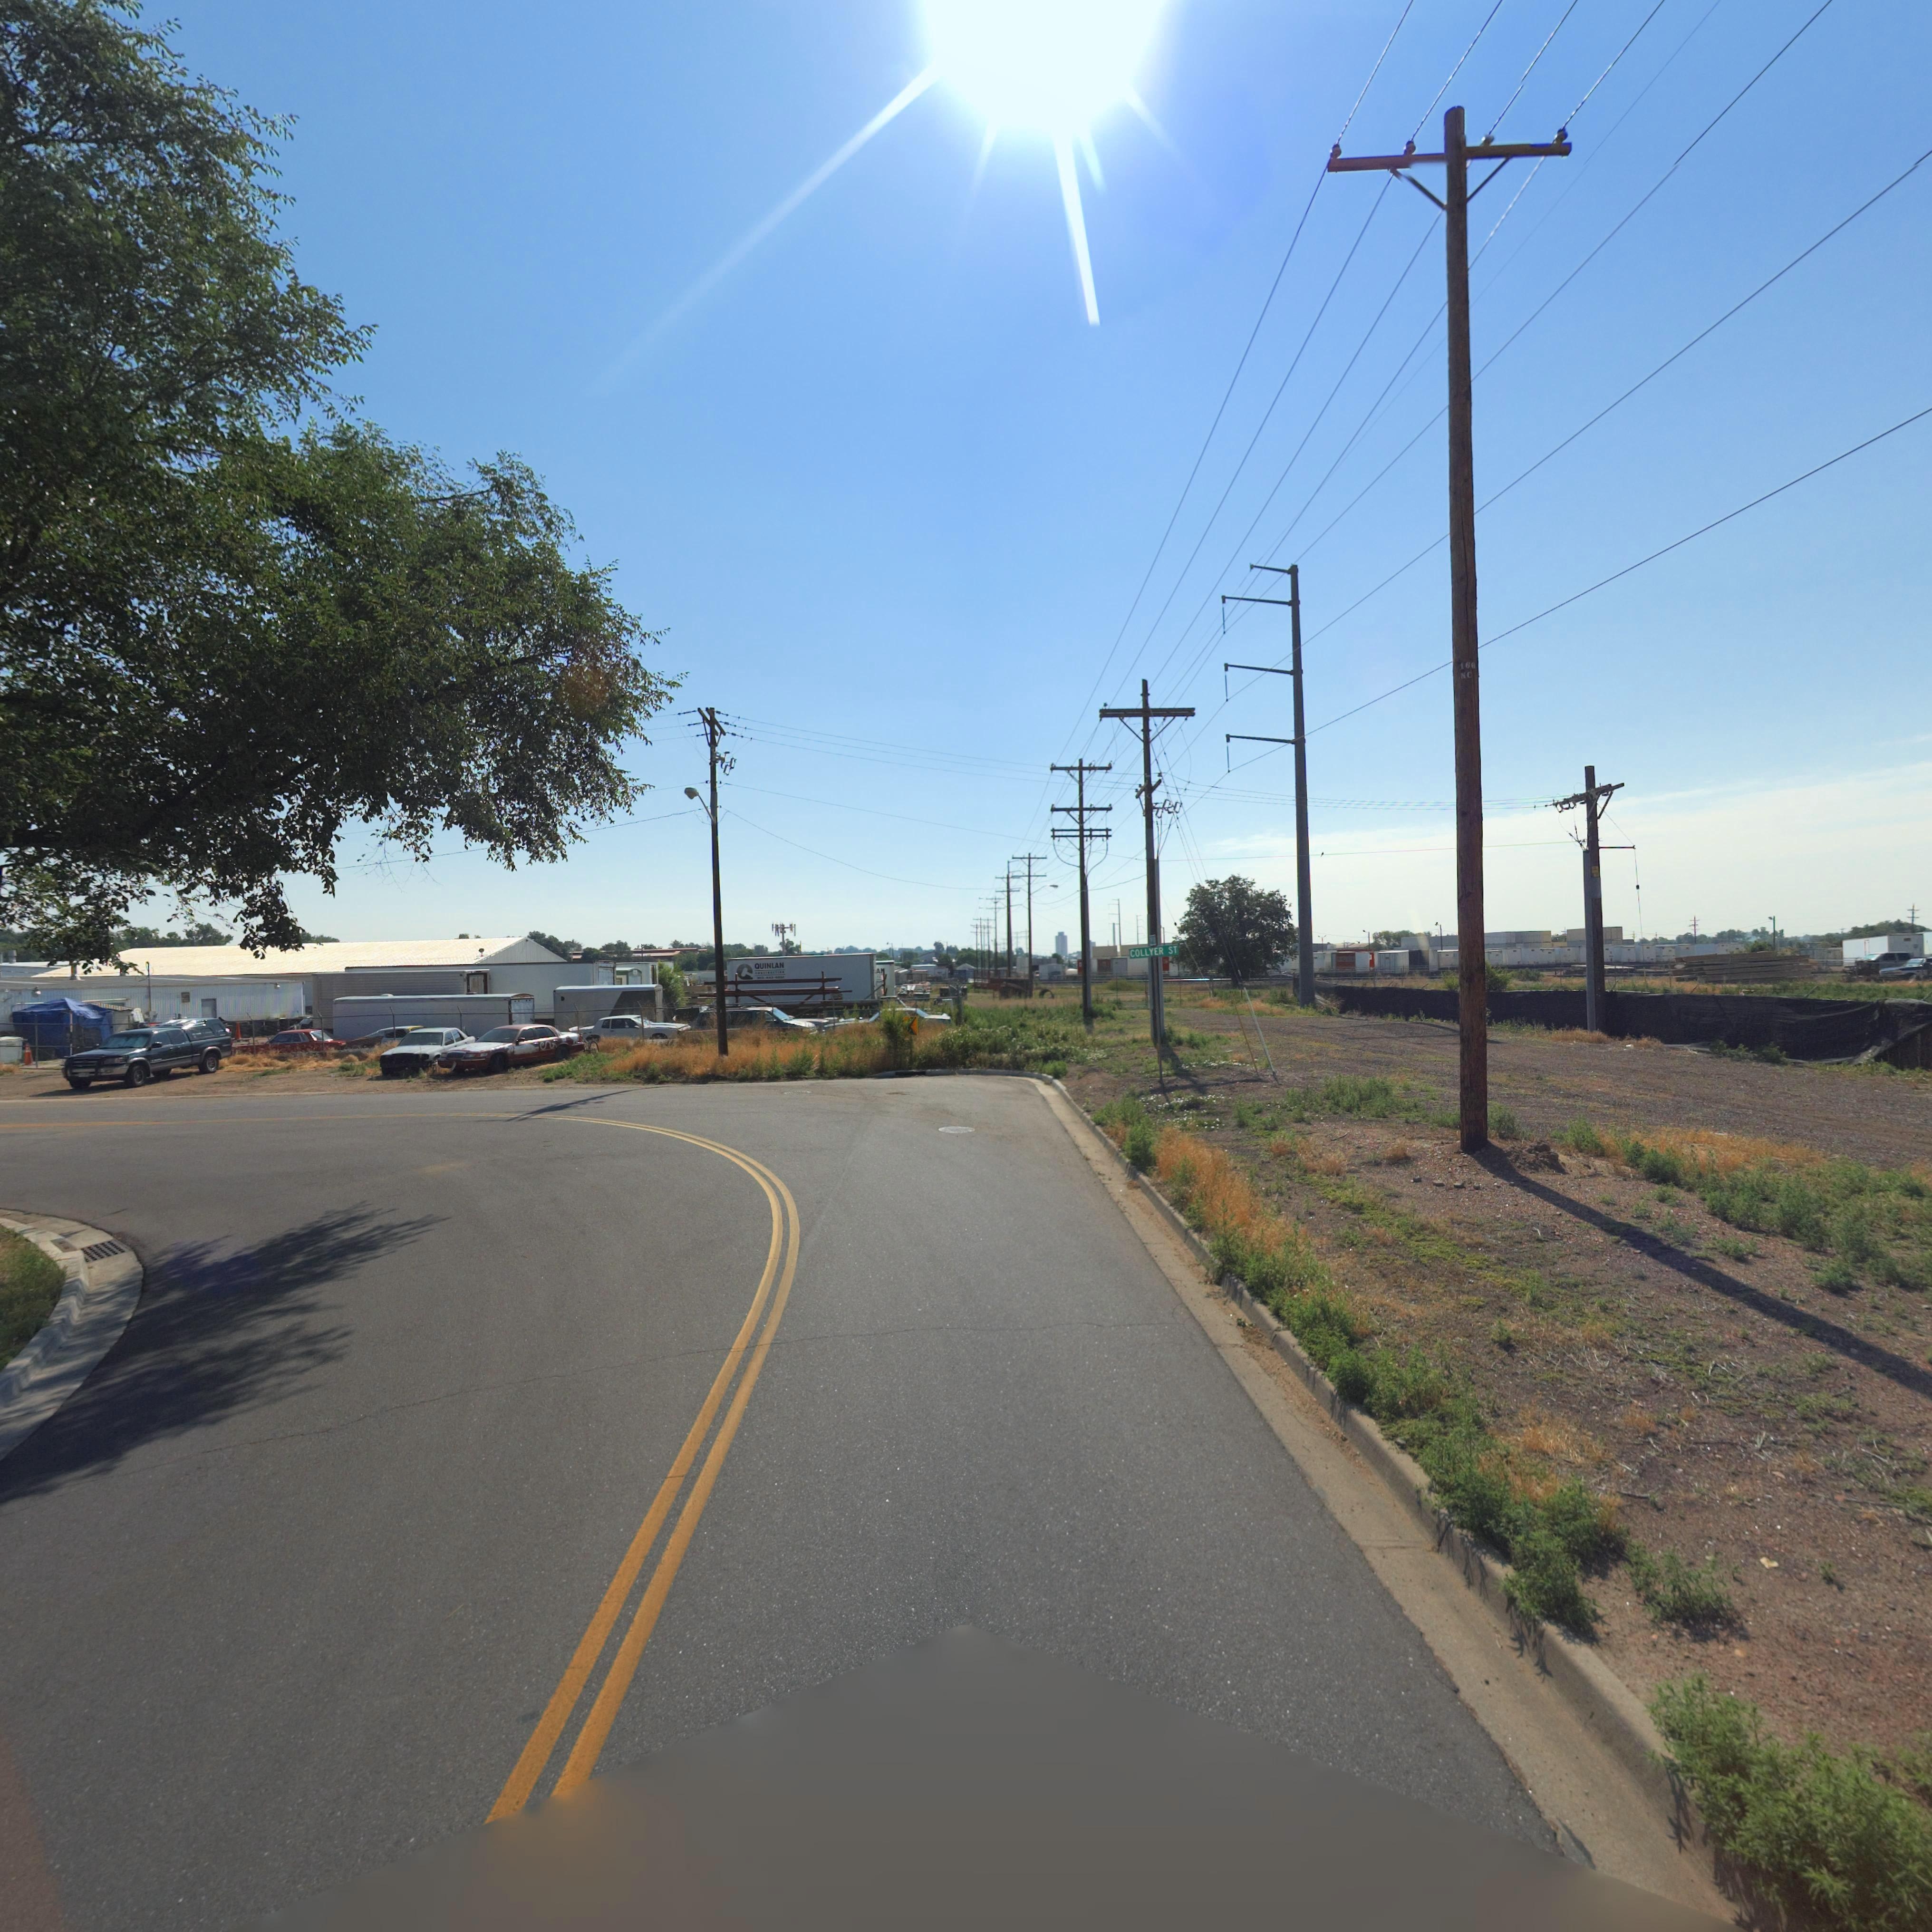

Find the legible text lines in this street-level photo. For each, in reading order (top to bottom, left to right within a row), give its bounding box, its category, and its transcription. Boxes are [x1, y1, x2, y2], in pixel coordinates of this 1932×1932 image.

[1130, 945, 1178, 958] StreetName: COLLYER ST